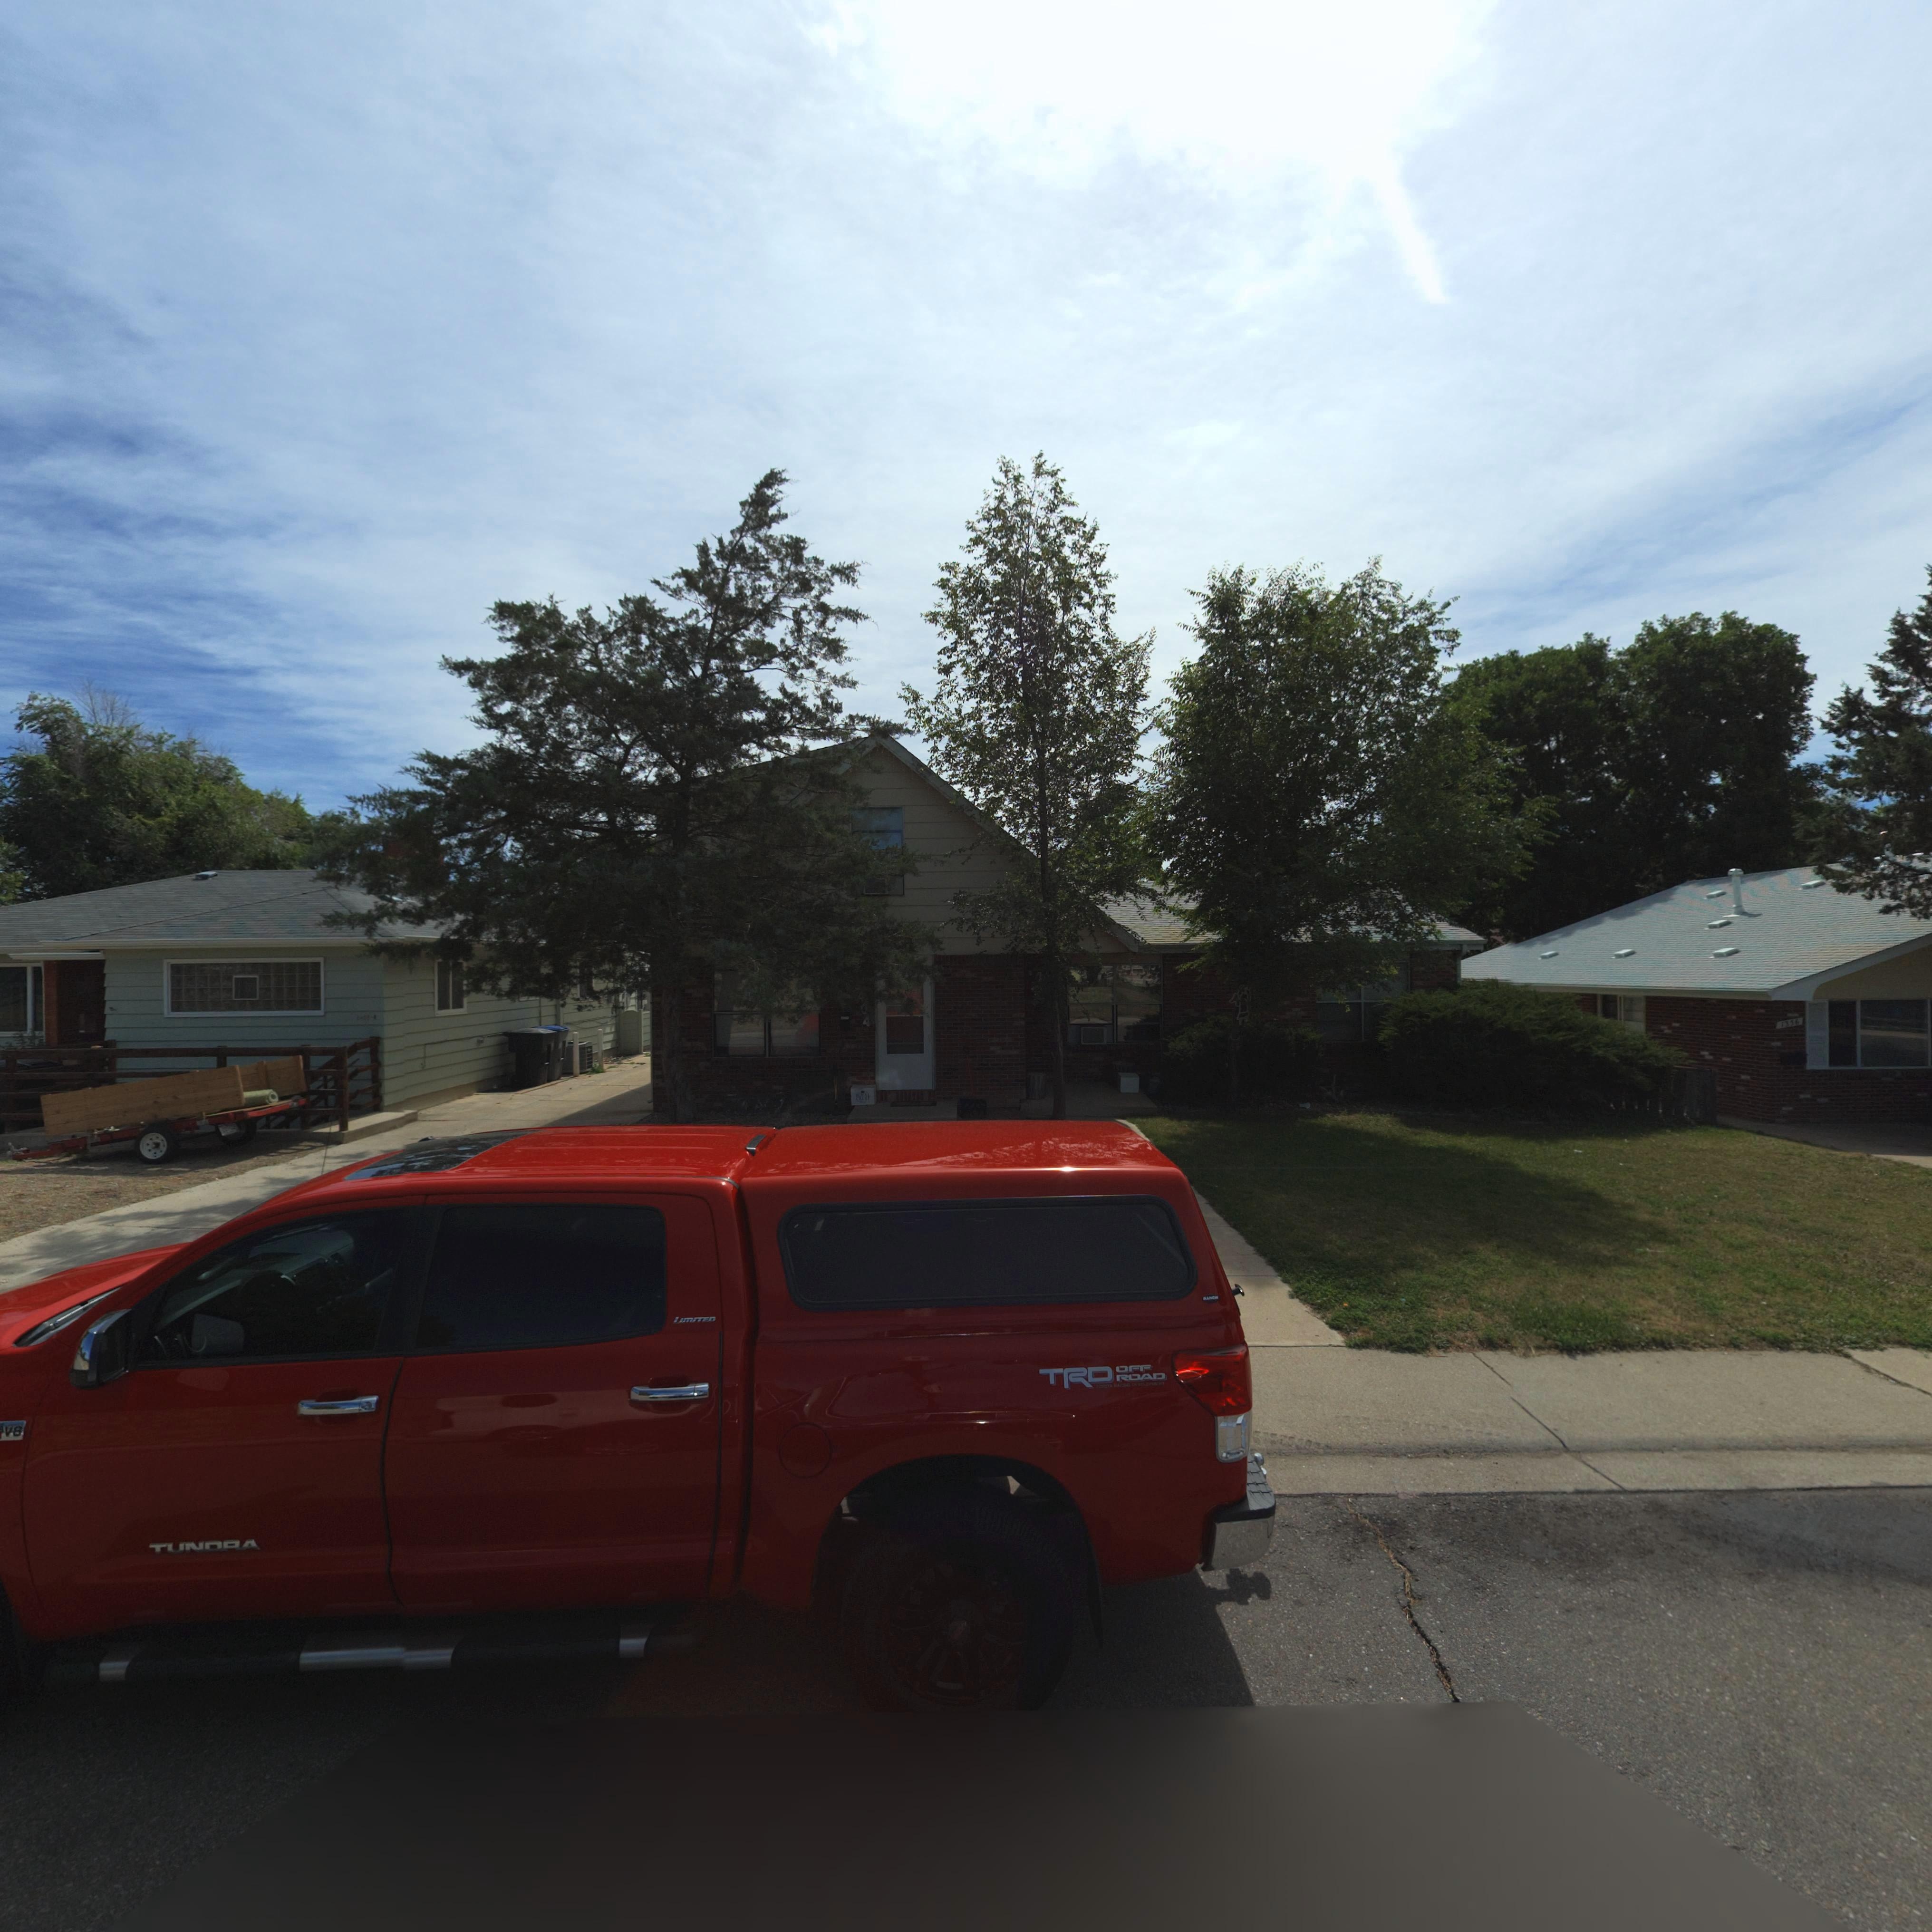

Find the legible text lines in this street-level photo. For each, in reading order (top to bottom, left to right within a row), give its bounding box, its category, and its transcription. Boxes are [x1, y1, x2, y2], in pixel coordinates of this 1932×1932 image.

[856, 988, 870, 1029] StreetNumber: *404
[1780, 1018, 1800, 1028] StreetNumber: 1356